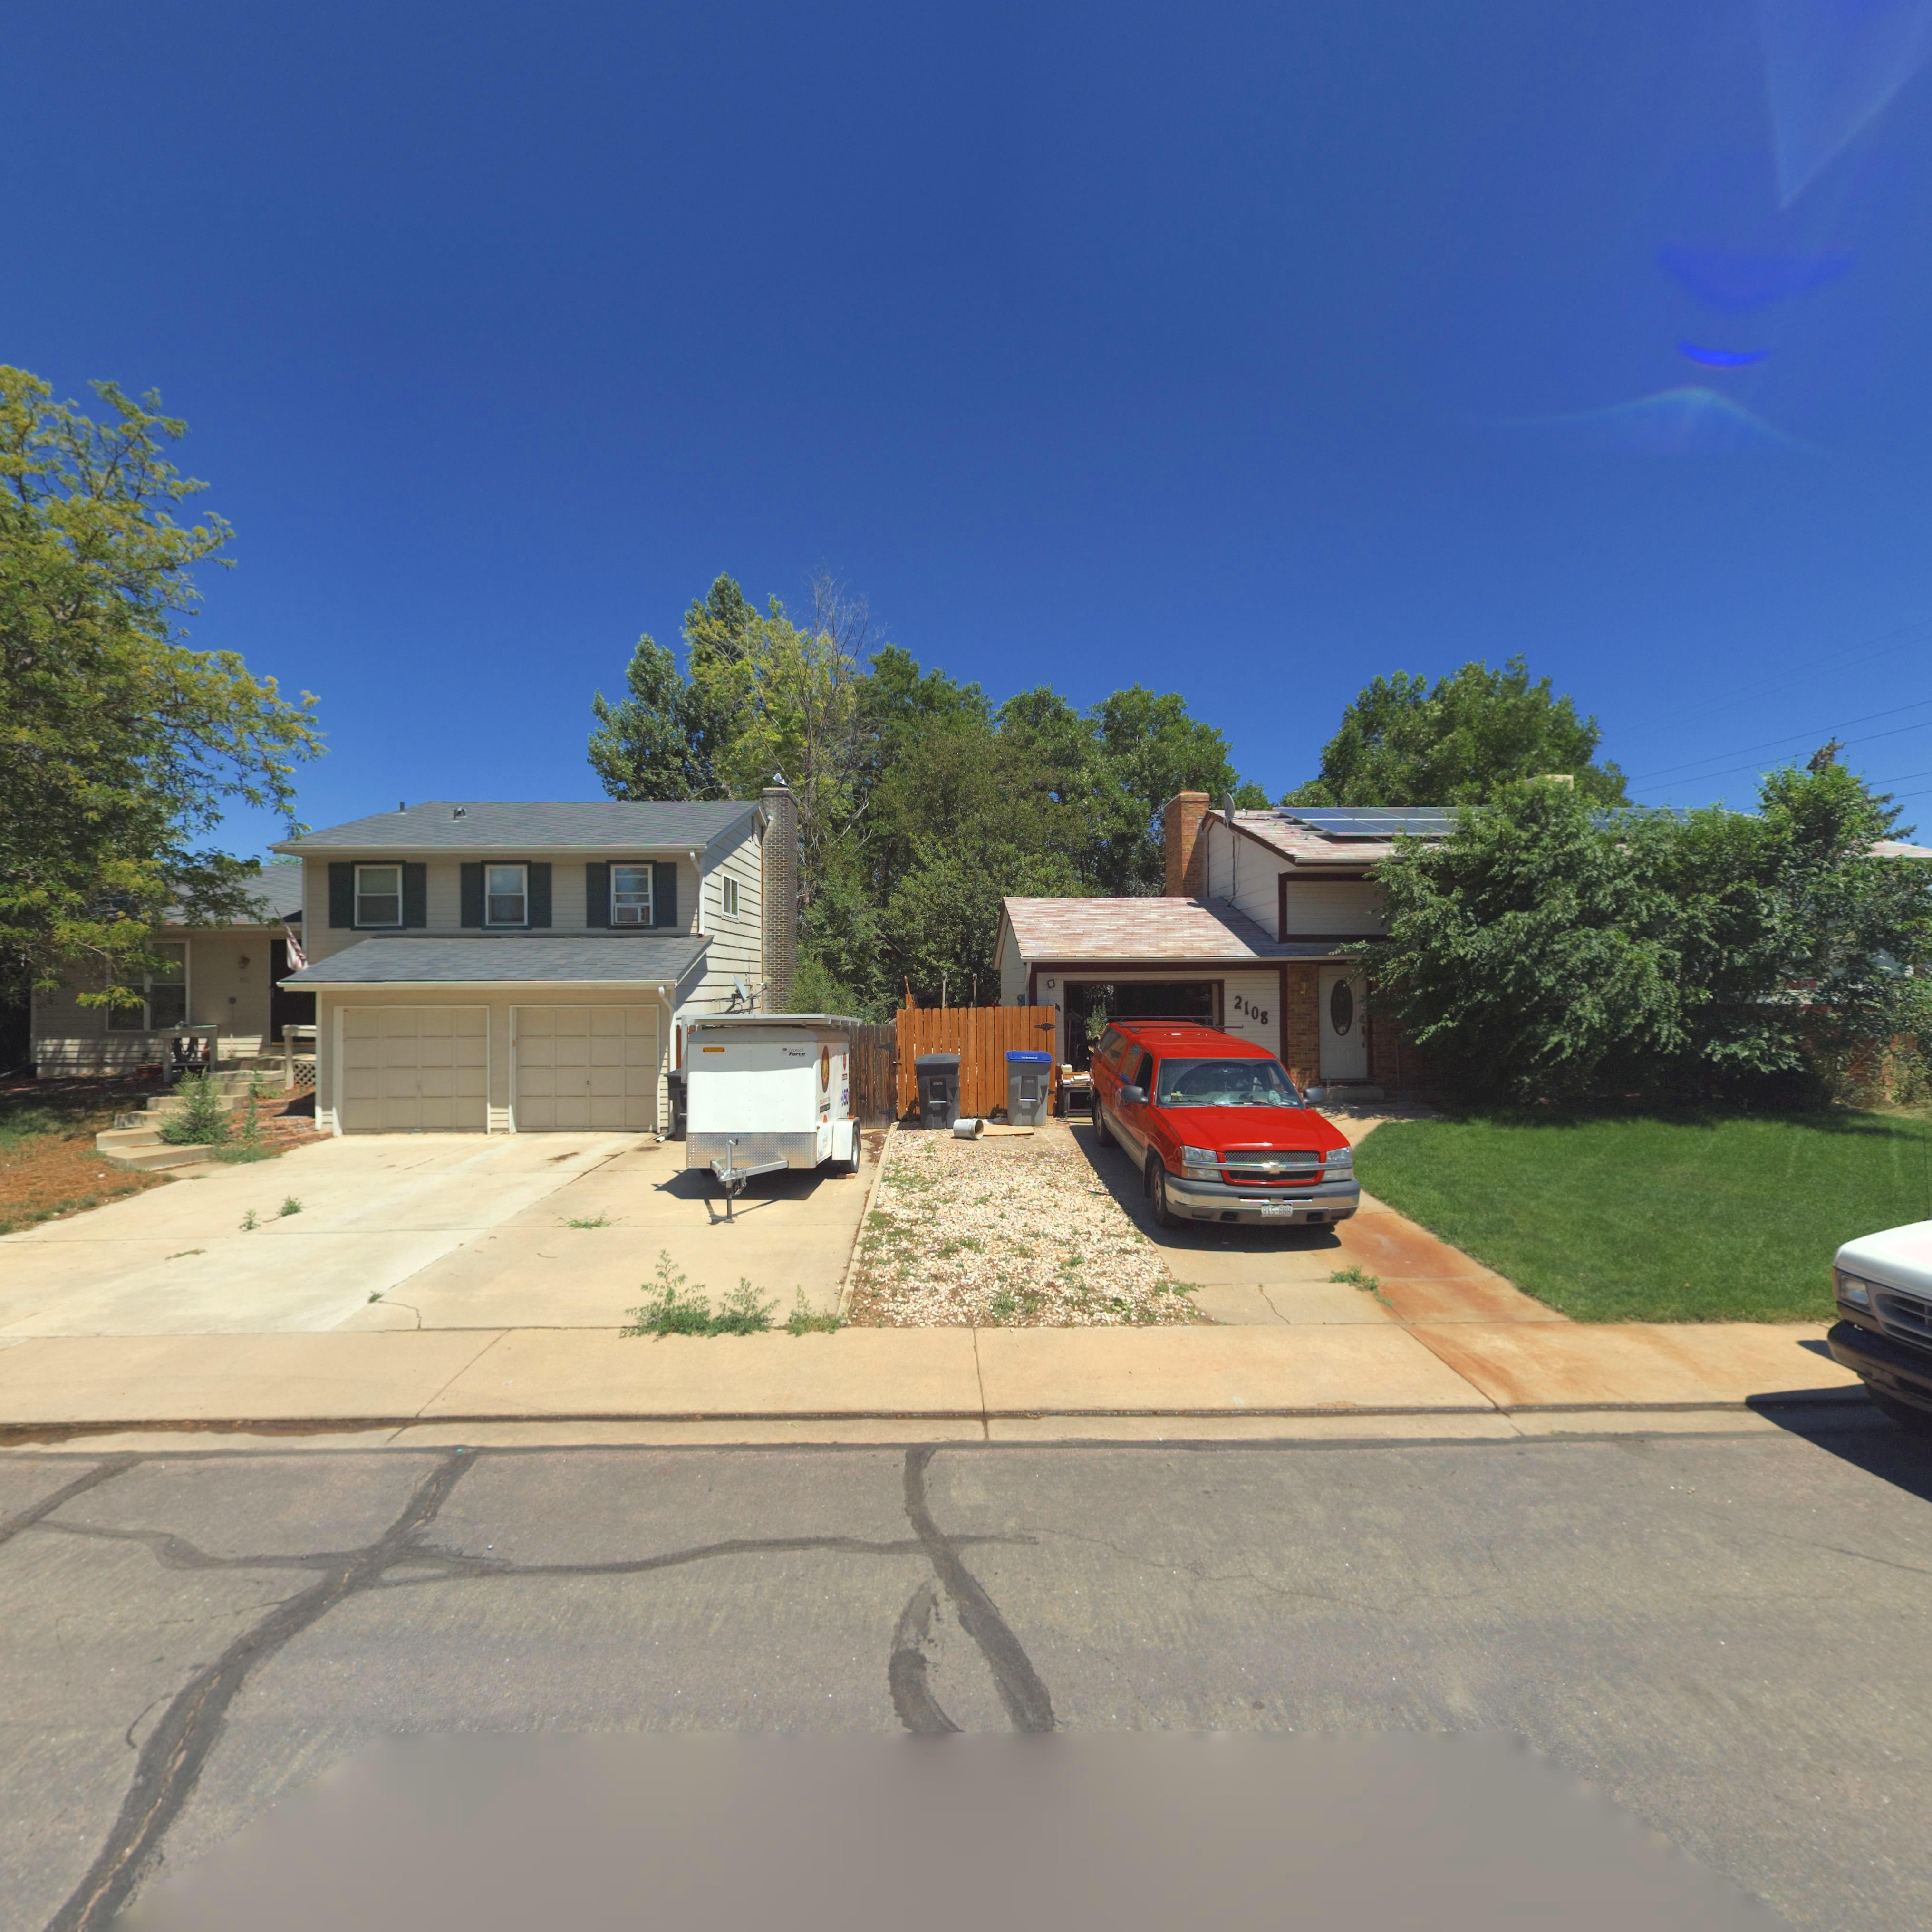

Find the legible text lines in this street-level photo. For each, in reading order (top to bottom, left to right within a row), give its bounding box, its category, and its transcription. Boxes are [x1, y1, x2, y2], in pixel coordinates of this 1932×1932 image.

[1233, 995, 1269, 1026] StreetNumber: 2108